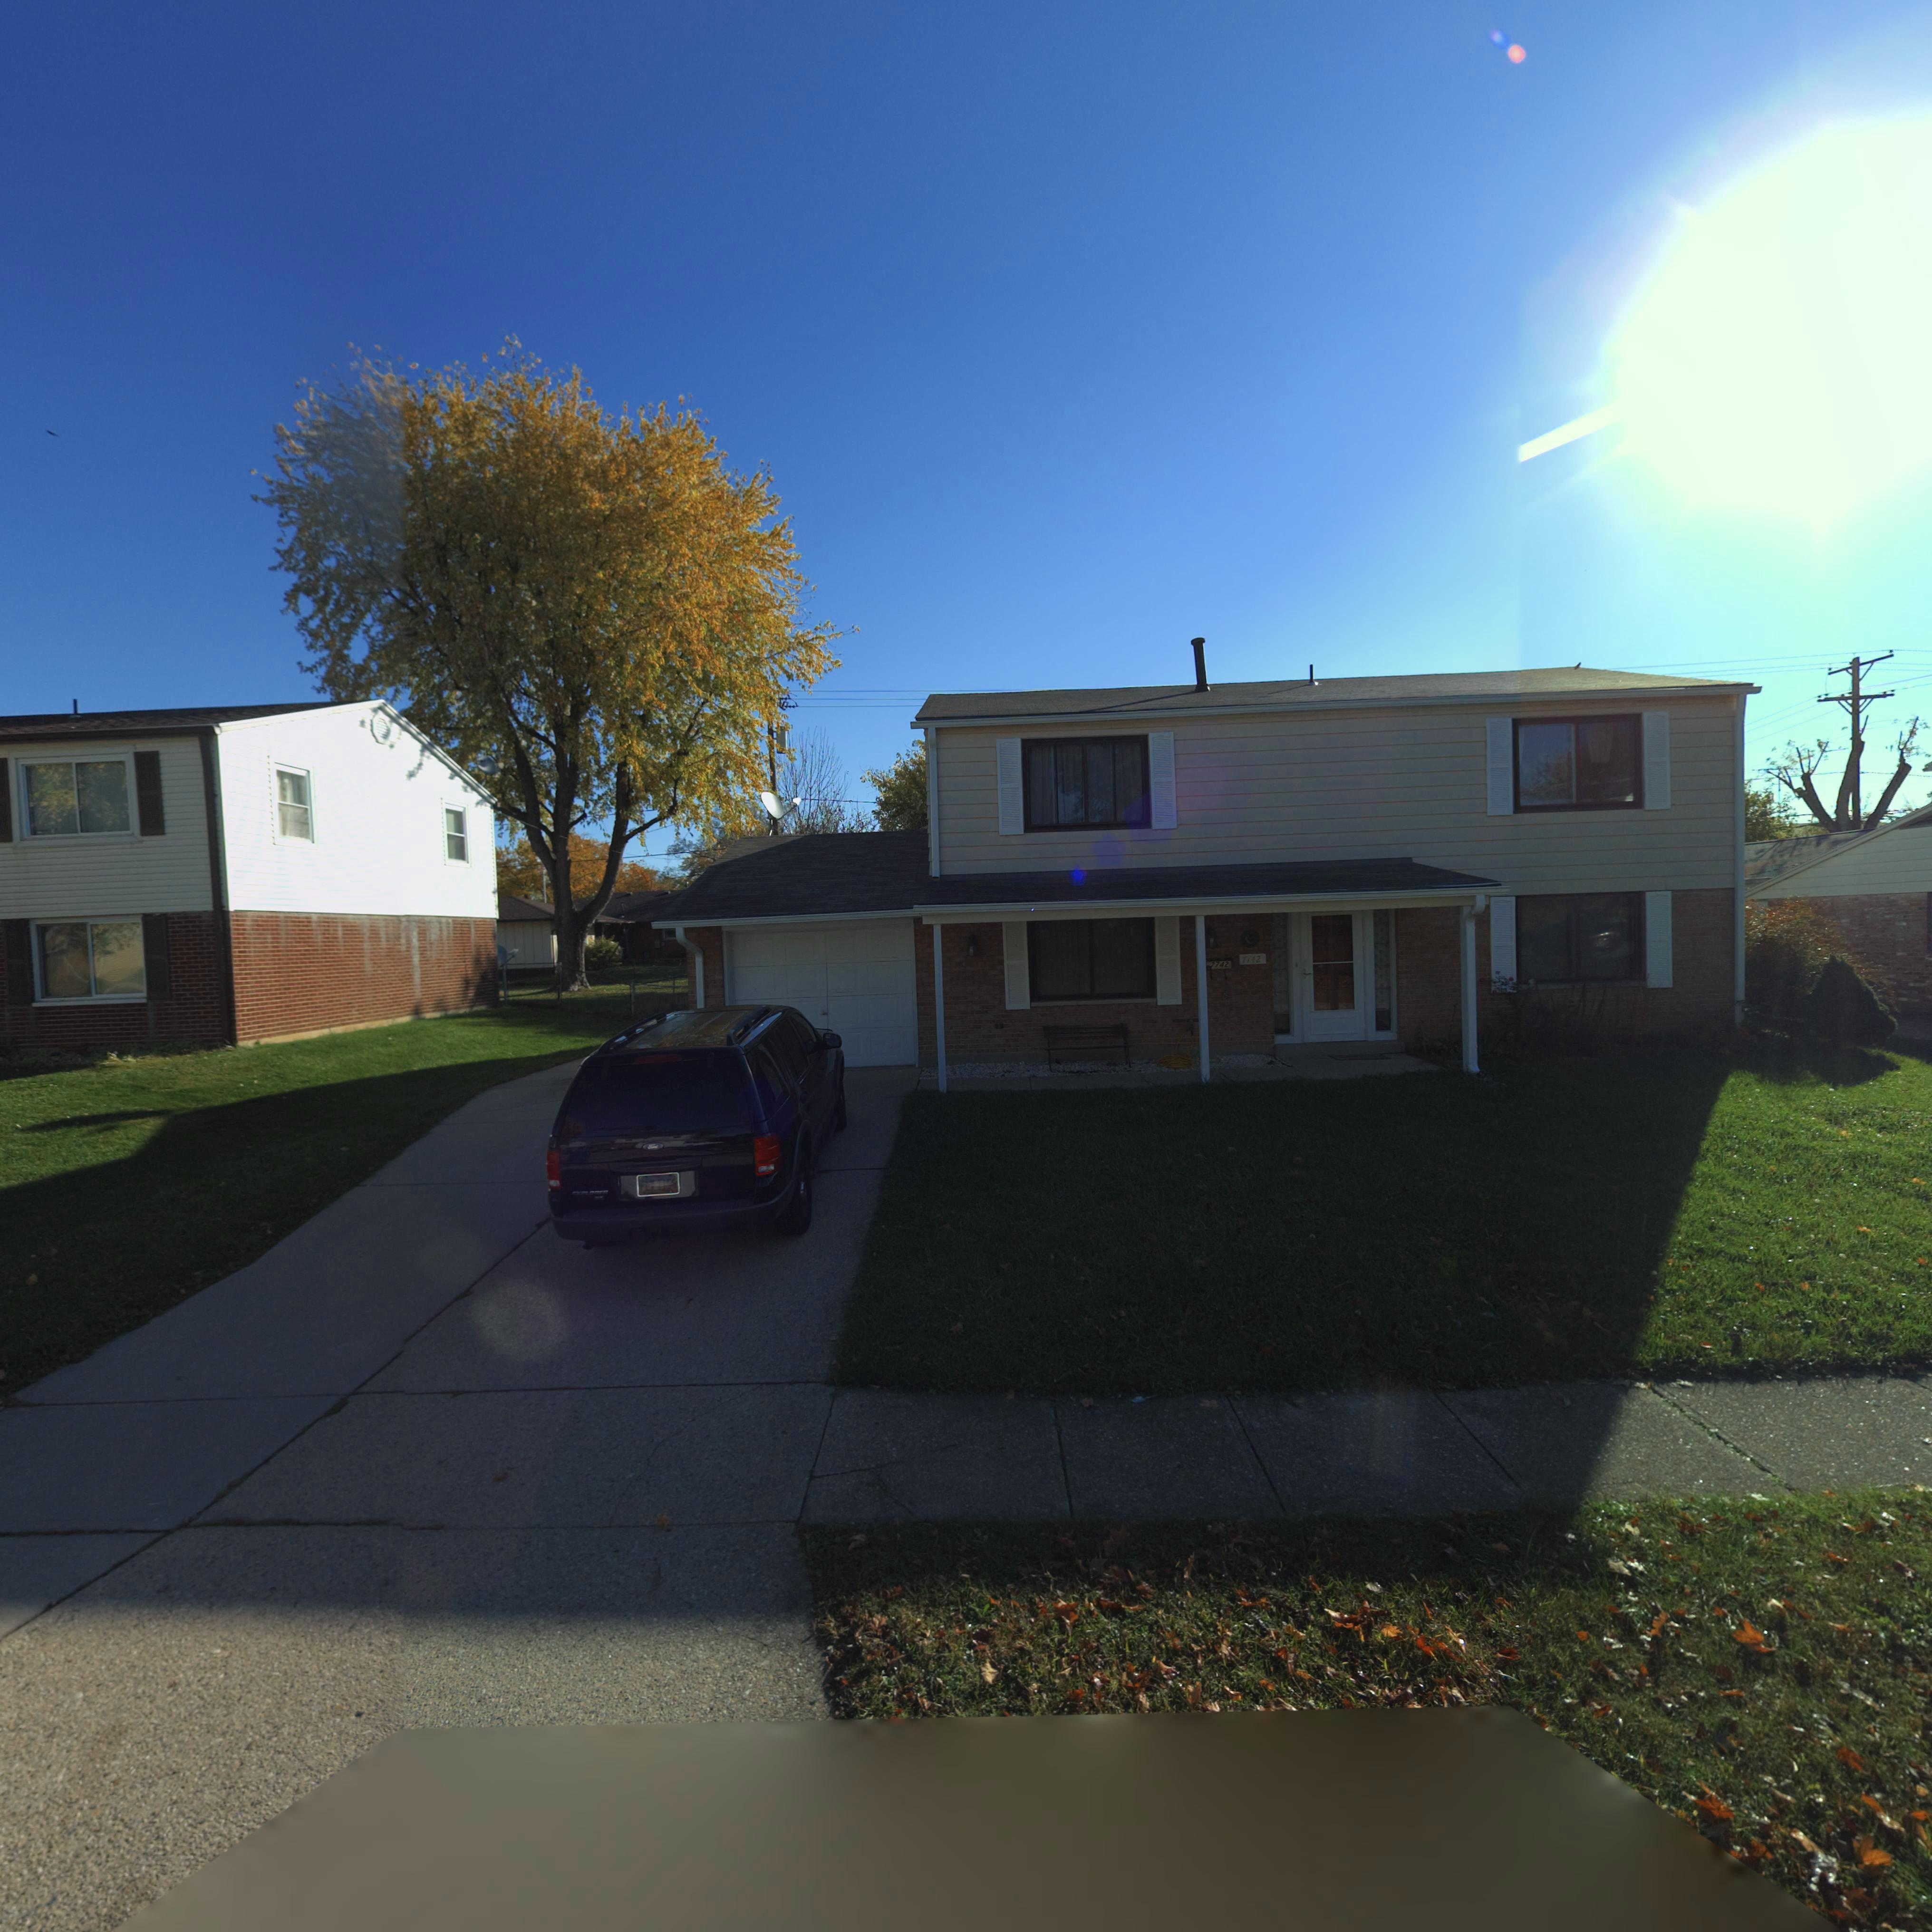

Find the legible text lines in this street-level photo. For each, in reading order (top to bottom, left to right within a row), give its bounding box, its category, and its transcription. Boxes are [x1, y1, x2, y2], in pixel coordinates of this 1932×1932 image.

[1209, 960, 1230, 969] StreetNumber: 7742
[1240, 954, 1262, 966] StreetNumber: 7742